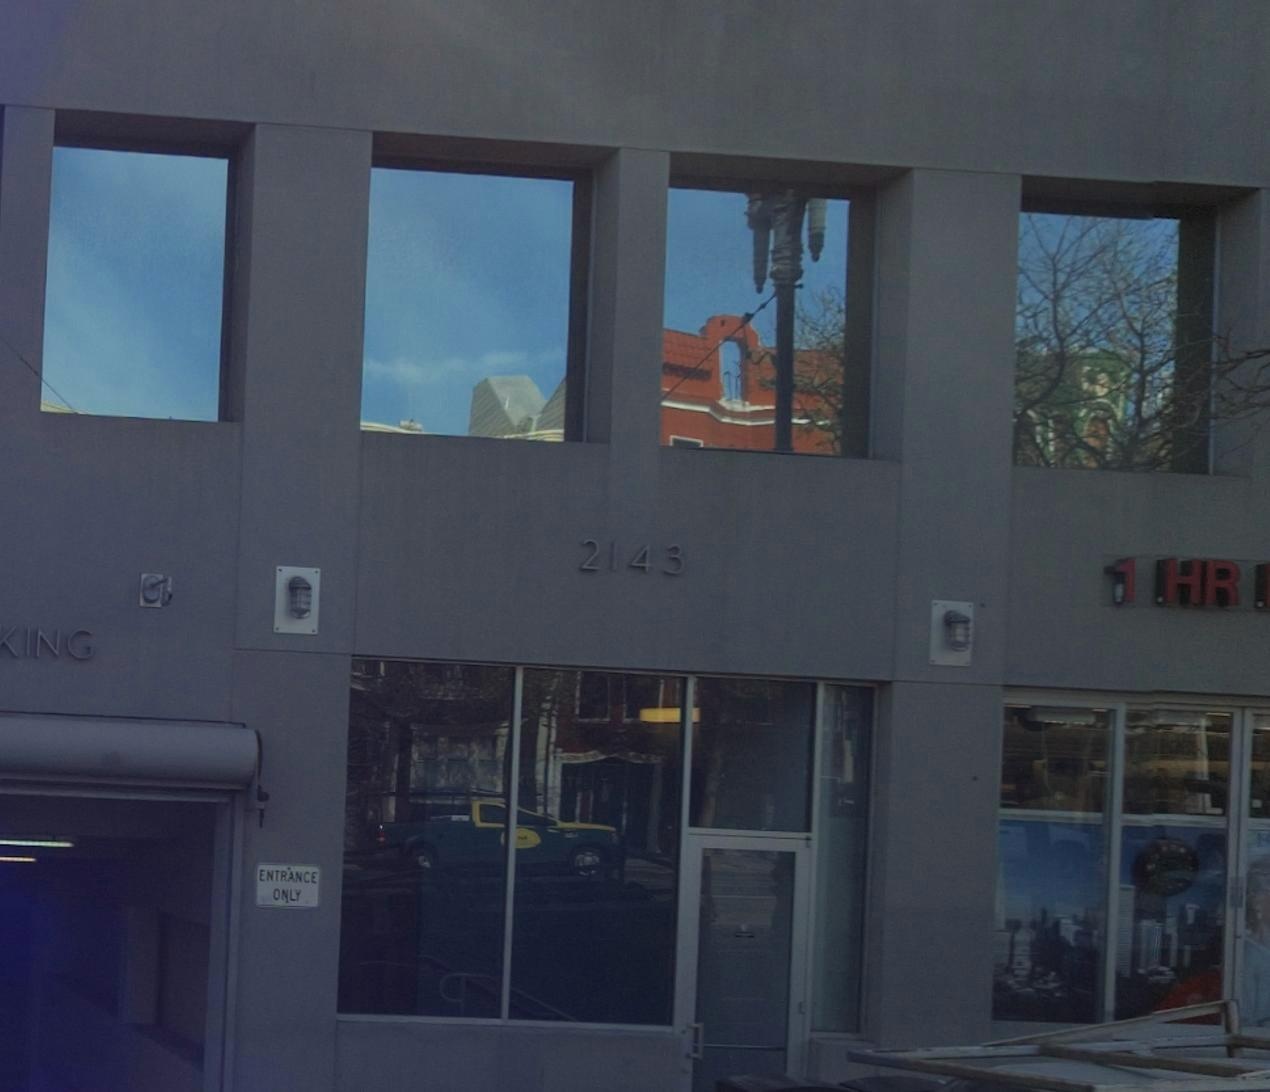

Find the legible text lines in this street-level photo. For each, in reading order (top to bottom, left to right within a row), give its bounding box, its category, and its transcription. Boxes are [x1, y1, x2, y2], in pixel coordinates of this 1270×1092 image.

[578, 535, 687, 578] StreetNumber: 2143
[1105, 553, 1244, 610] None: 1 HR
[23, 624, 96, 662] None: ING
[271, 885, 305, 904] None: ONLY
[257, 866, 320, 887] None: ENTRANCE